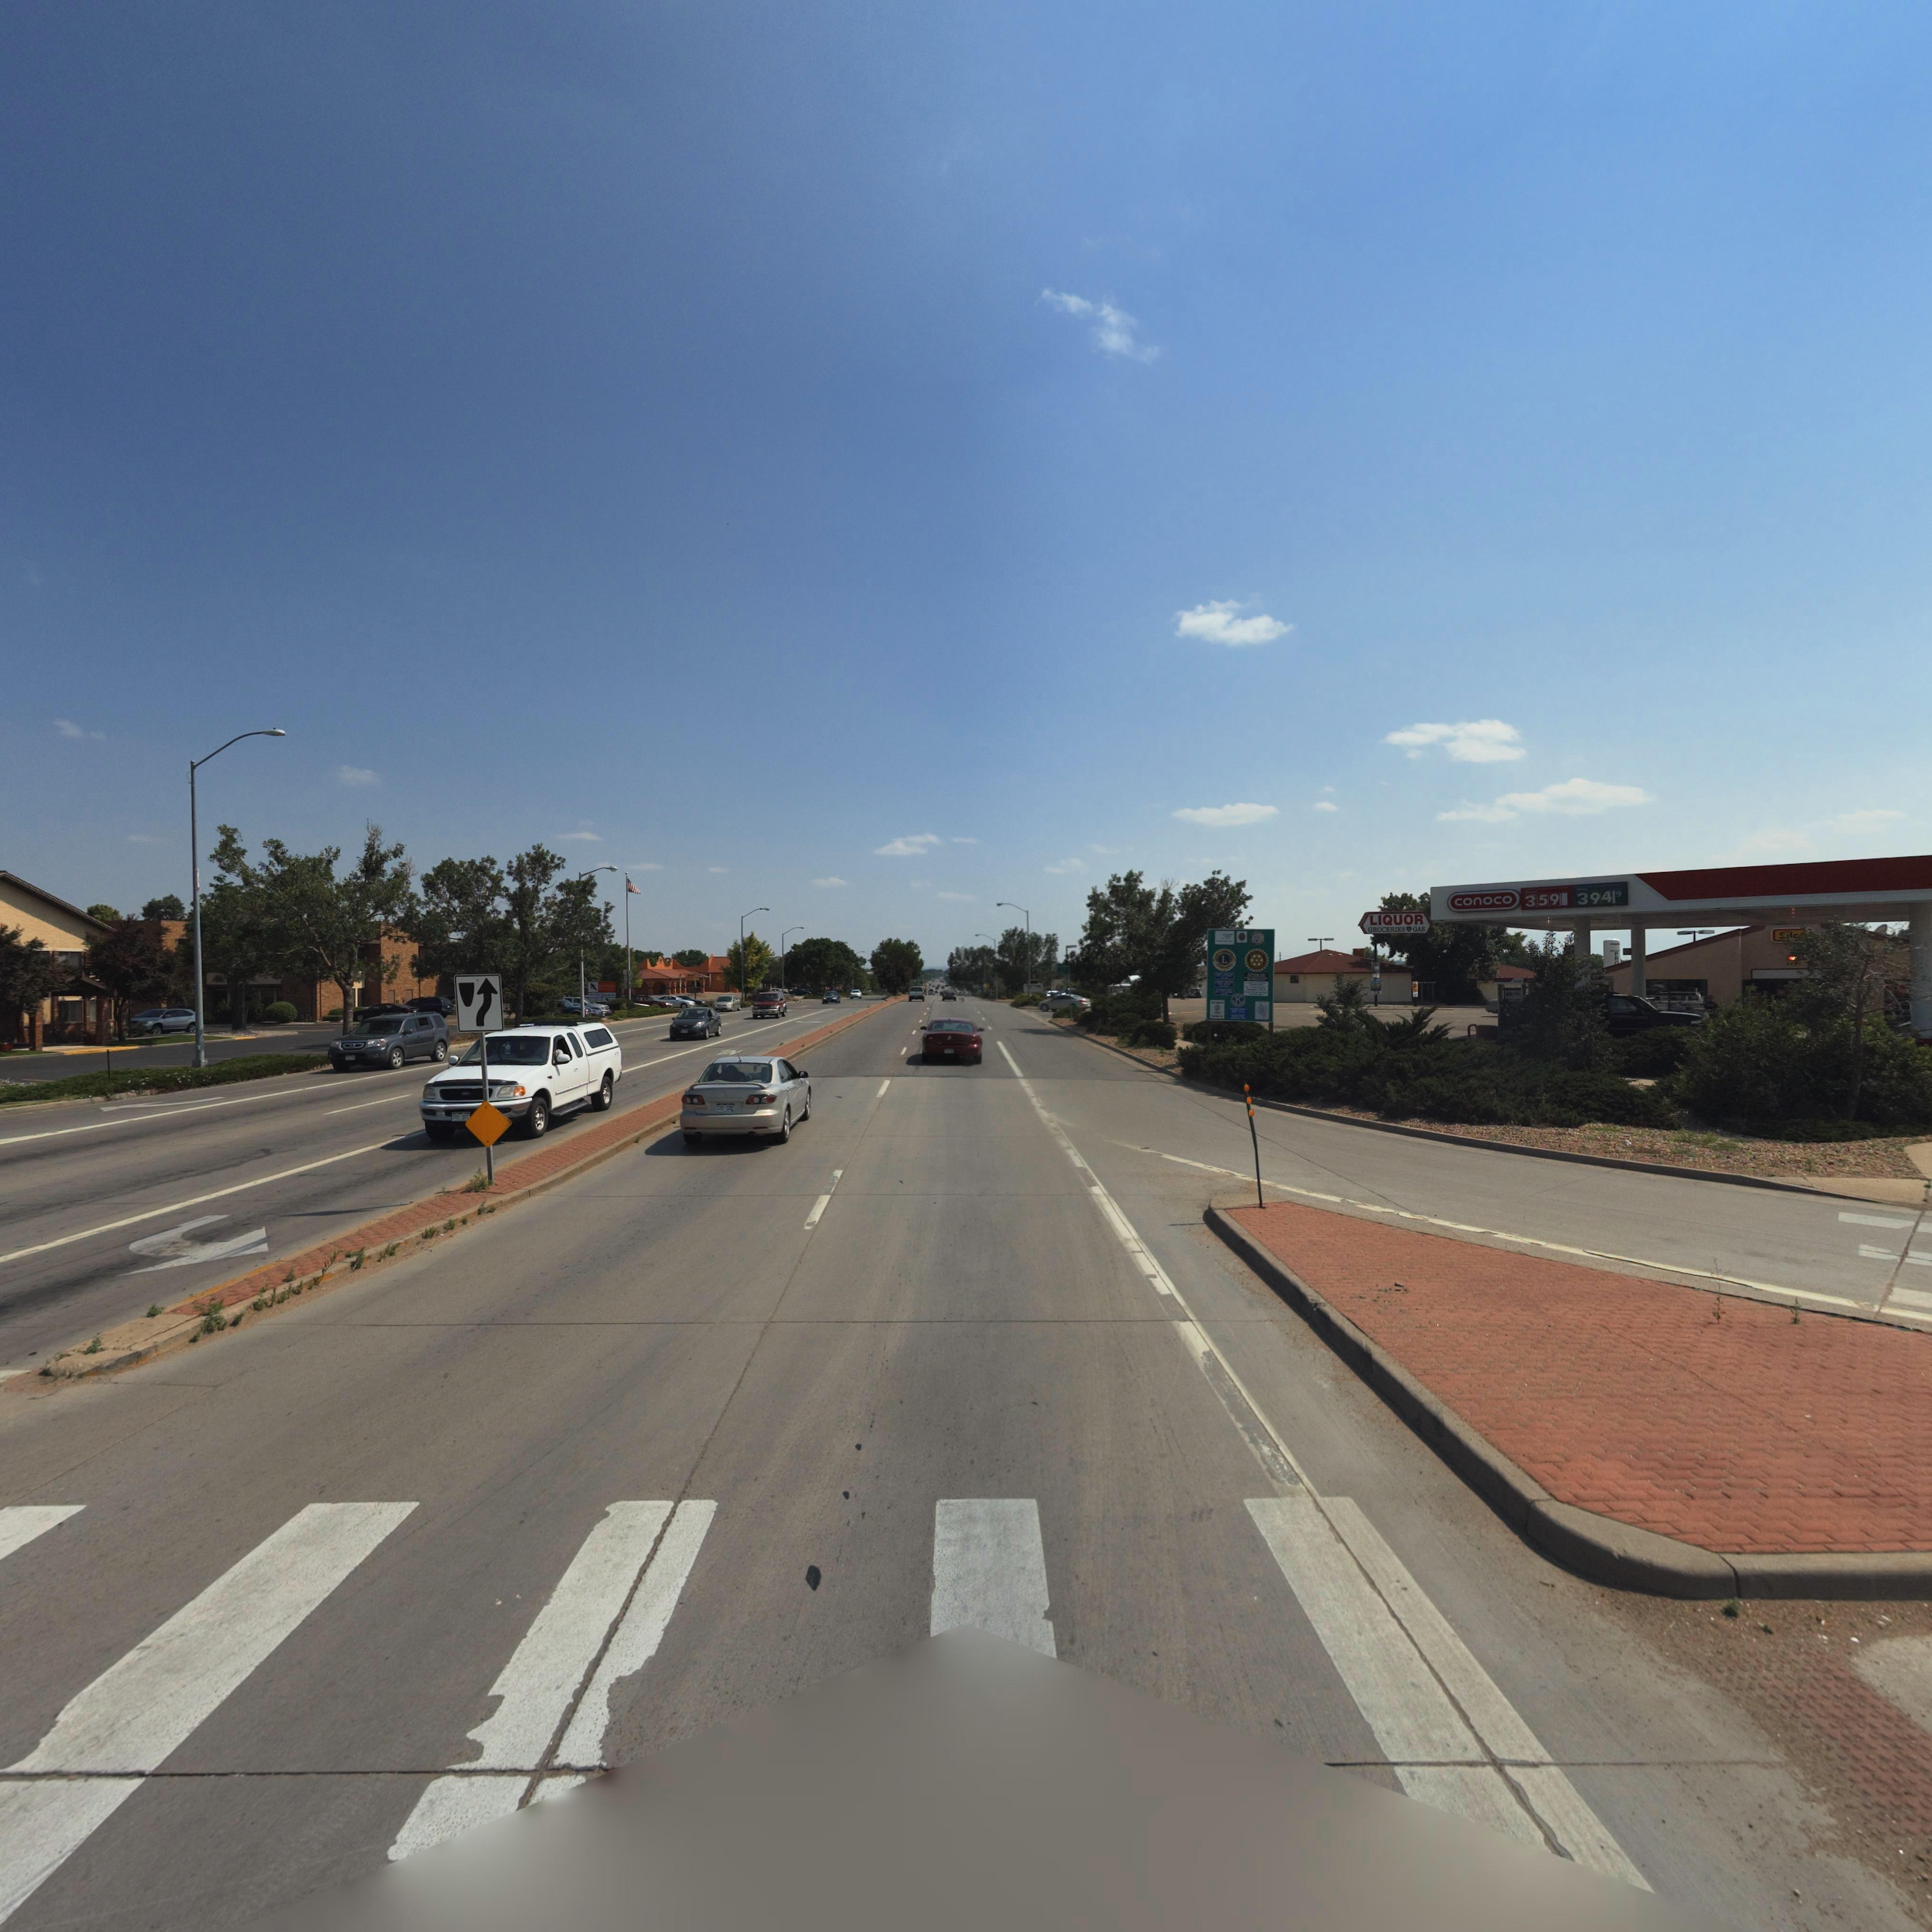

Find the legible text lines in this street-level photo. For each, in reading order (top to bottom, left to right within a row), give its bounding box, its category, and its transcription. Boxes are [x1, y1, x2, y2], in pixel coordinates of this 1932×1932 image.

[1454, 895, 1512, 906] BusinessName: conoco
[1778, 929, 1801, 939] BusinessName: *ilc